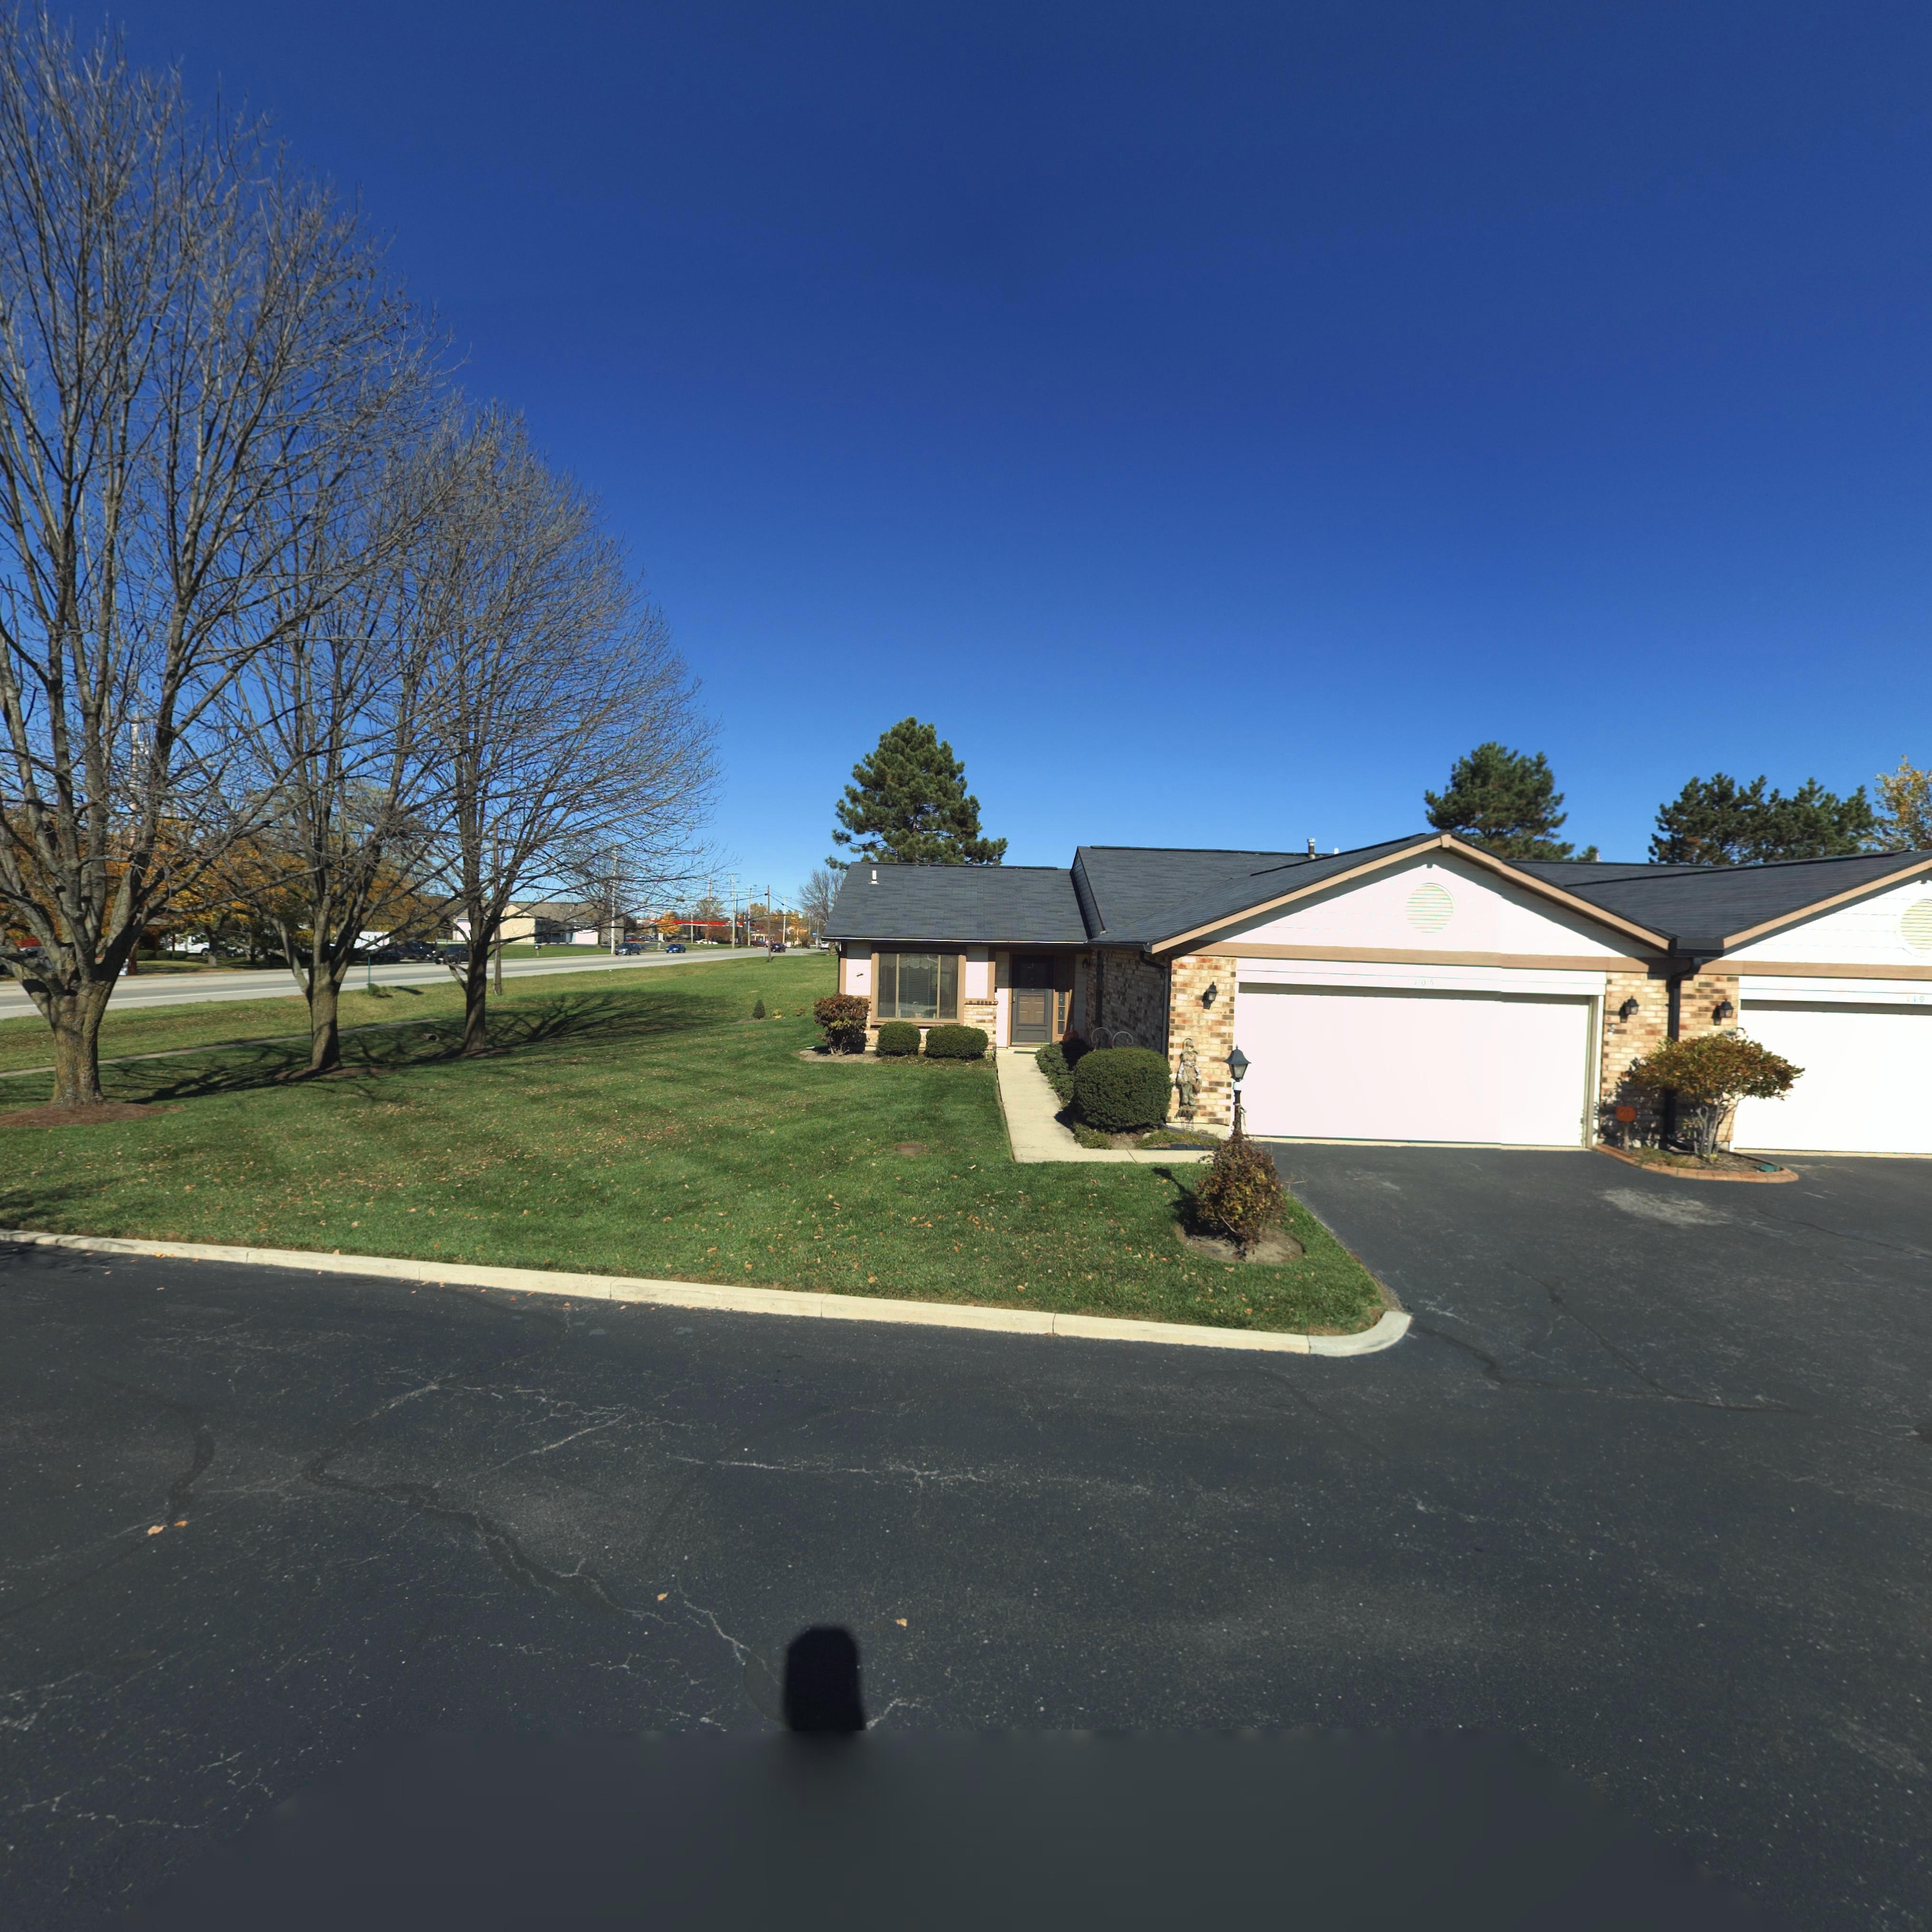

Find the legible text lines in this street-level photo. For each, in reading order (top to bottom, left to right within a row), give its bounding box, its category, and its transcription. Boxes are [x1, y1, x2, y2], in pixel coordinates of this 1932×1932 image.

[1411, 978, 1435, 987] StreetNumber: *05
[1904, 994, 1925, 1003] StreetNumber: *10